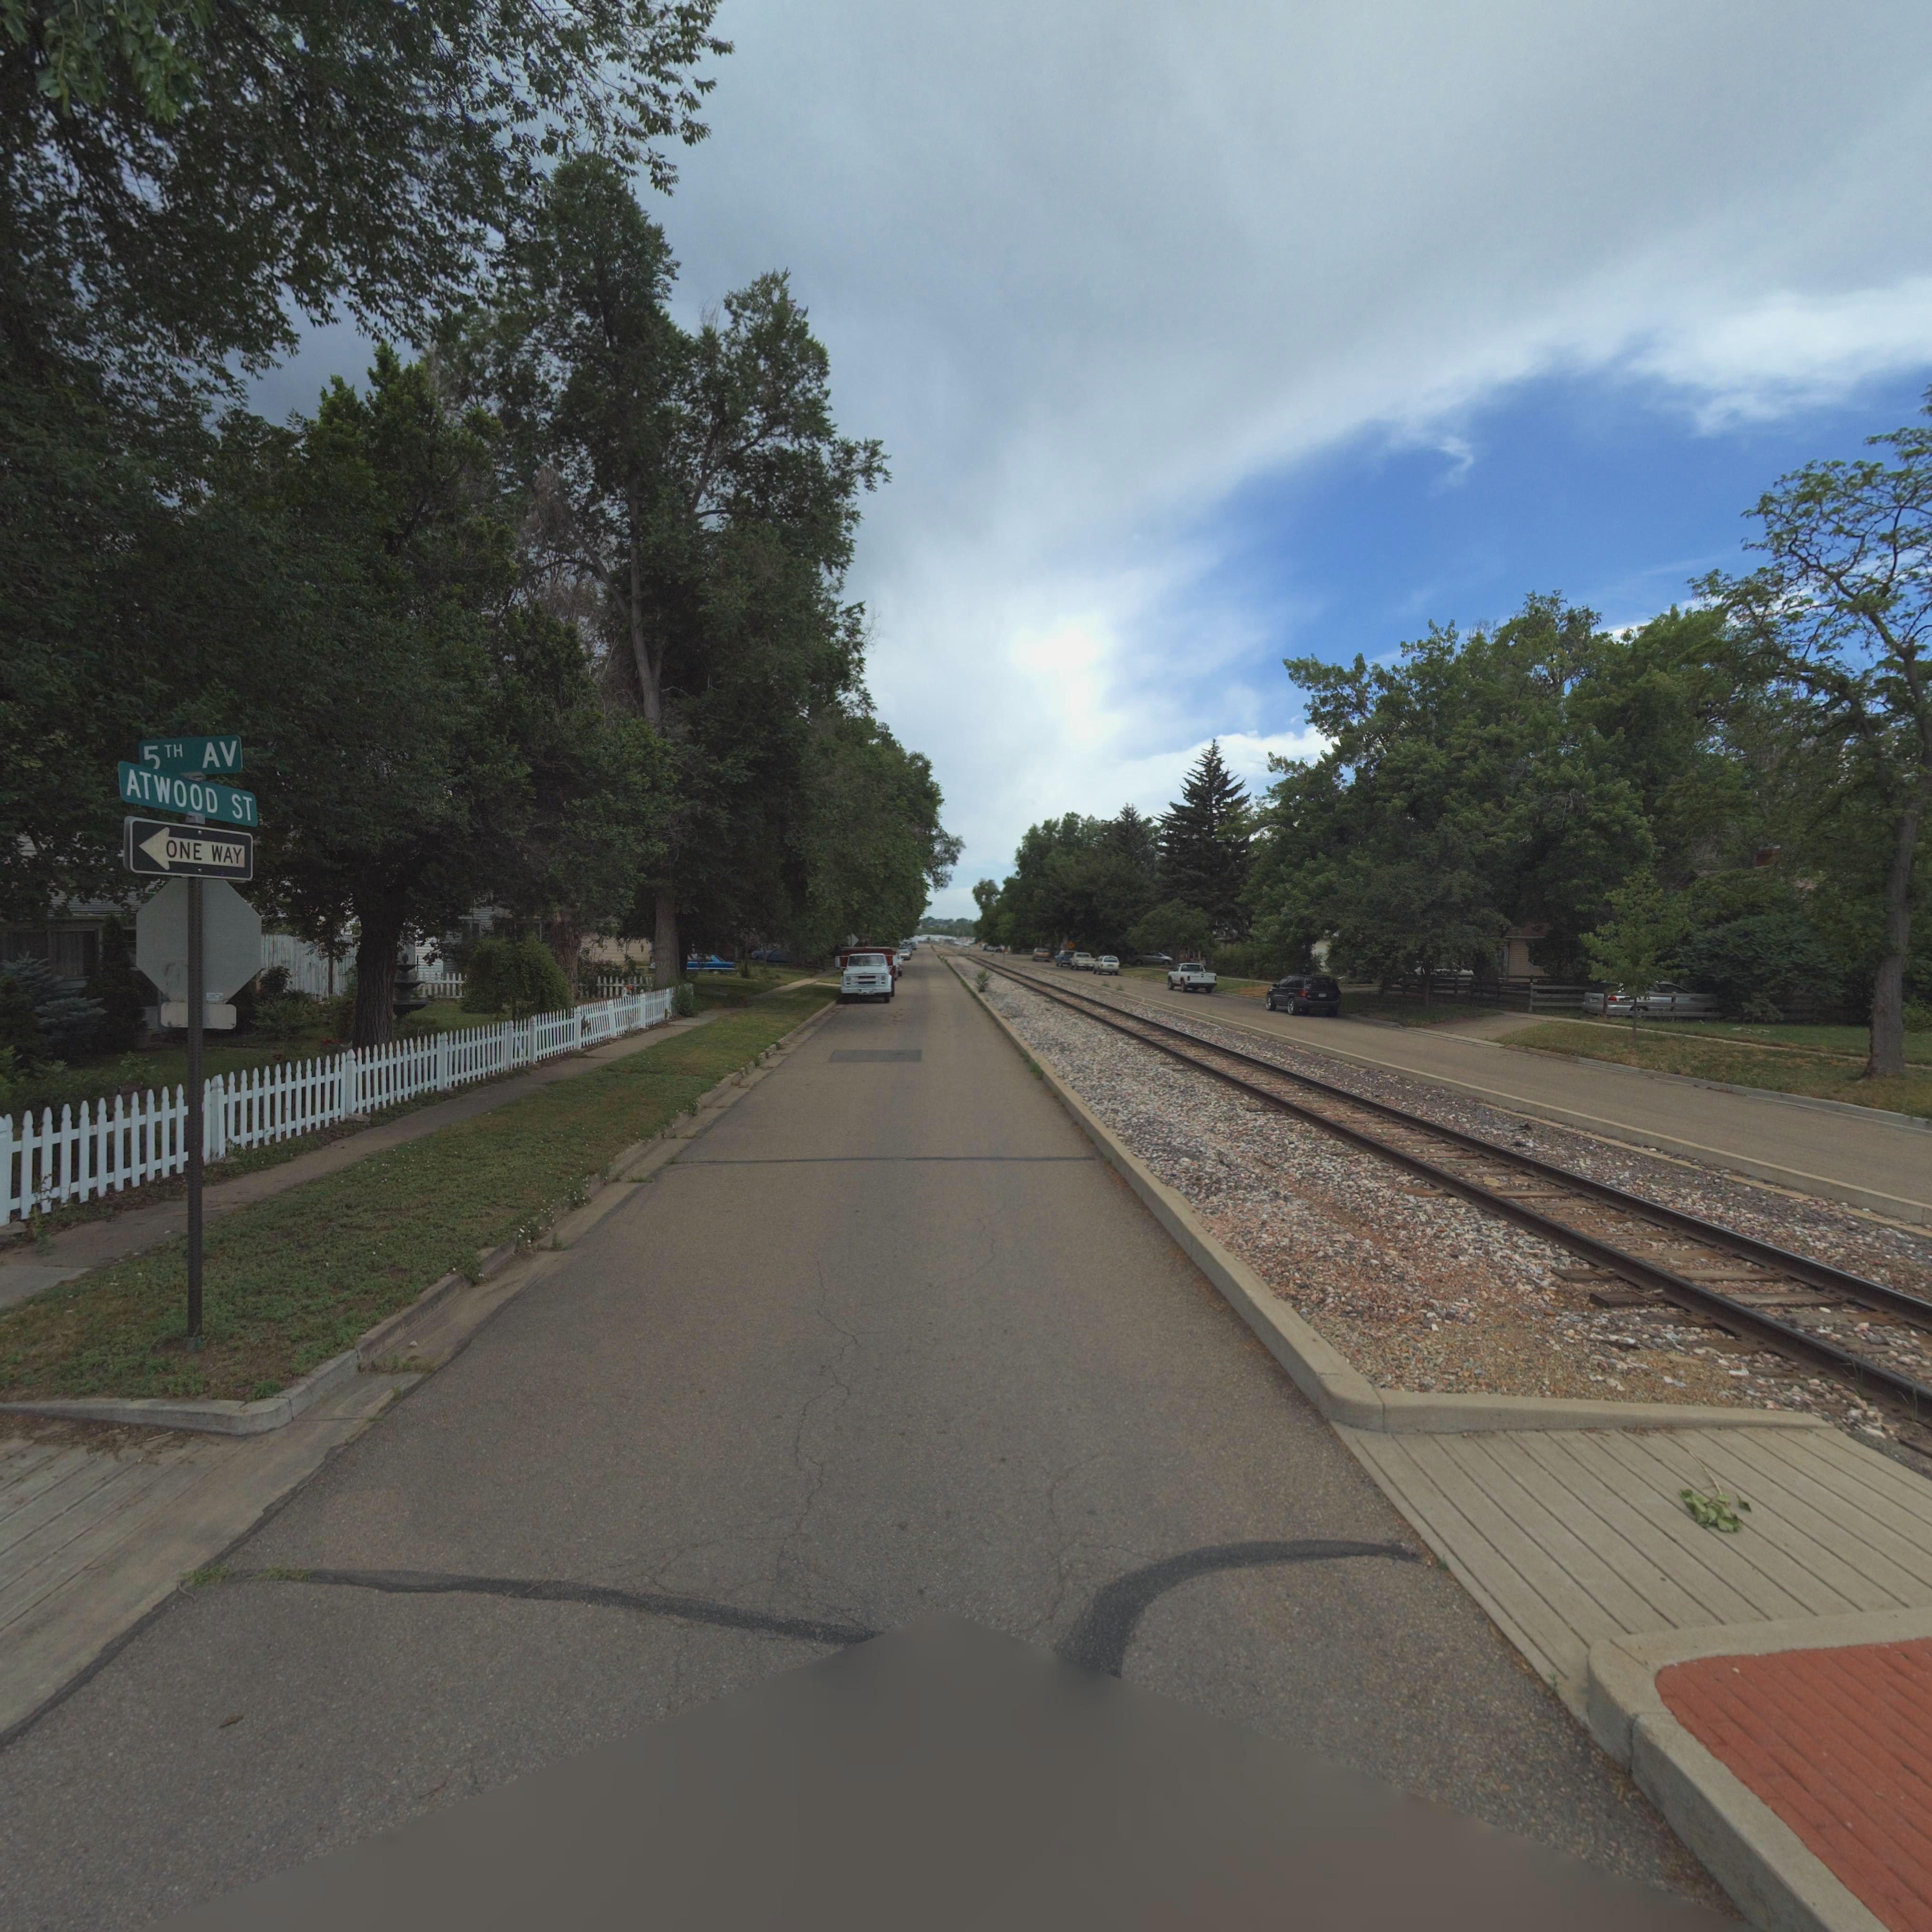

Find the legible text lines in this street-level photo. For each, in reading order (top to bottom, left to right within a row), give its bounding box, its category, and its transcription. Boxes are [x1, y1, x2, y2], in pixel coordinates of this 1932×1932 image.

[143, 740, 237, 770] StreetName: 5TH AV
[126, 768, 253, 821] StreetName: ATWOOD ST